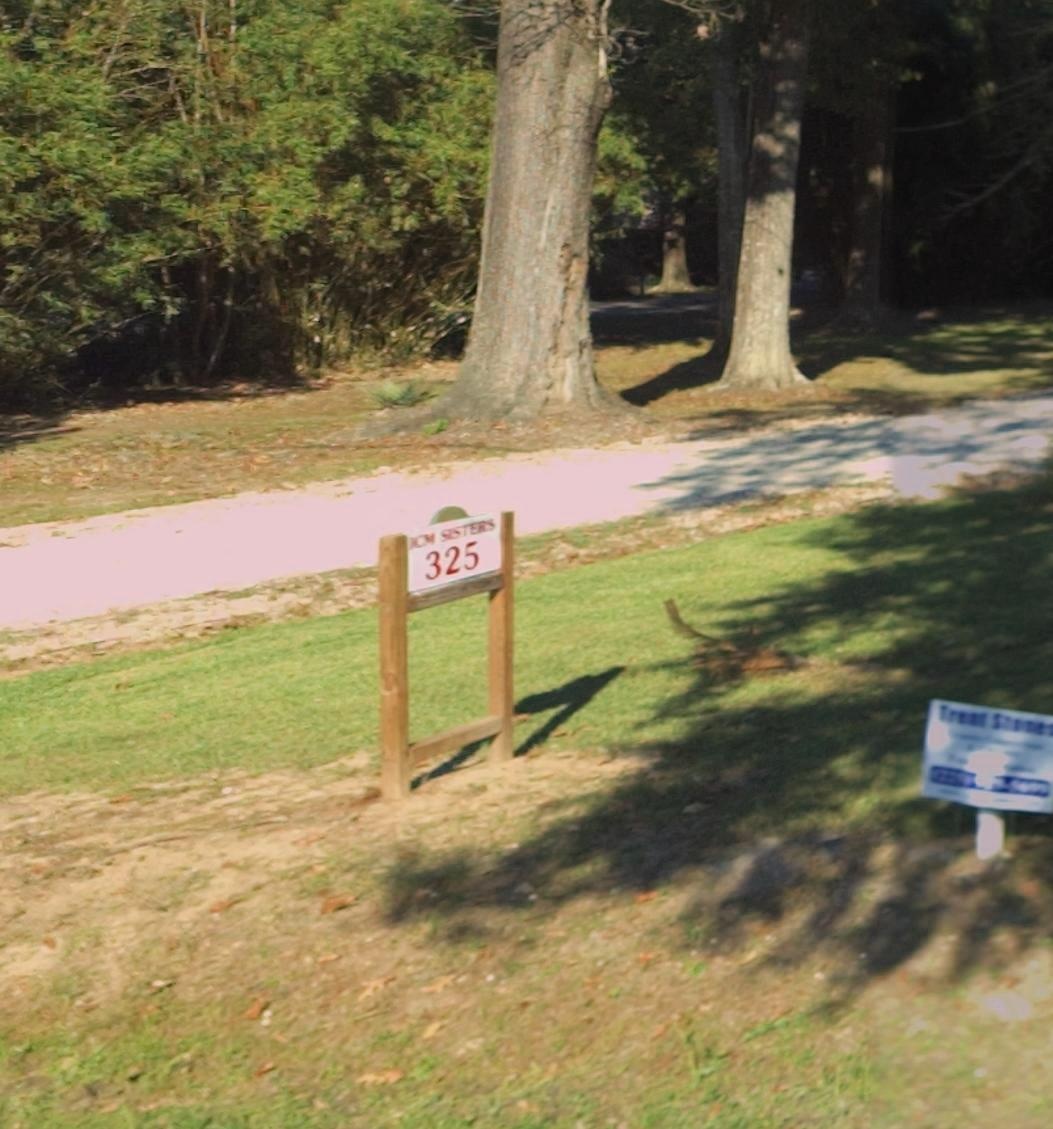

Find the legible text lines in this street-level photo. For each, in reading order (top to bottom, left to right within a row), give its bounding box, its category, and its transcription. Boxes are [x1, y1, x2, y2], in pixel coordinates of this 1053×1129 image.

[413, 532, 436, 550] BusinessName: CM
[438, 517, 497, 544] BusinessName: SISTERS
[423, 537, 480, 583] StreetNumber: 325